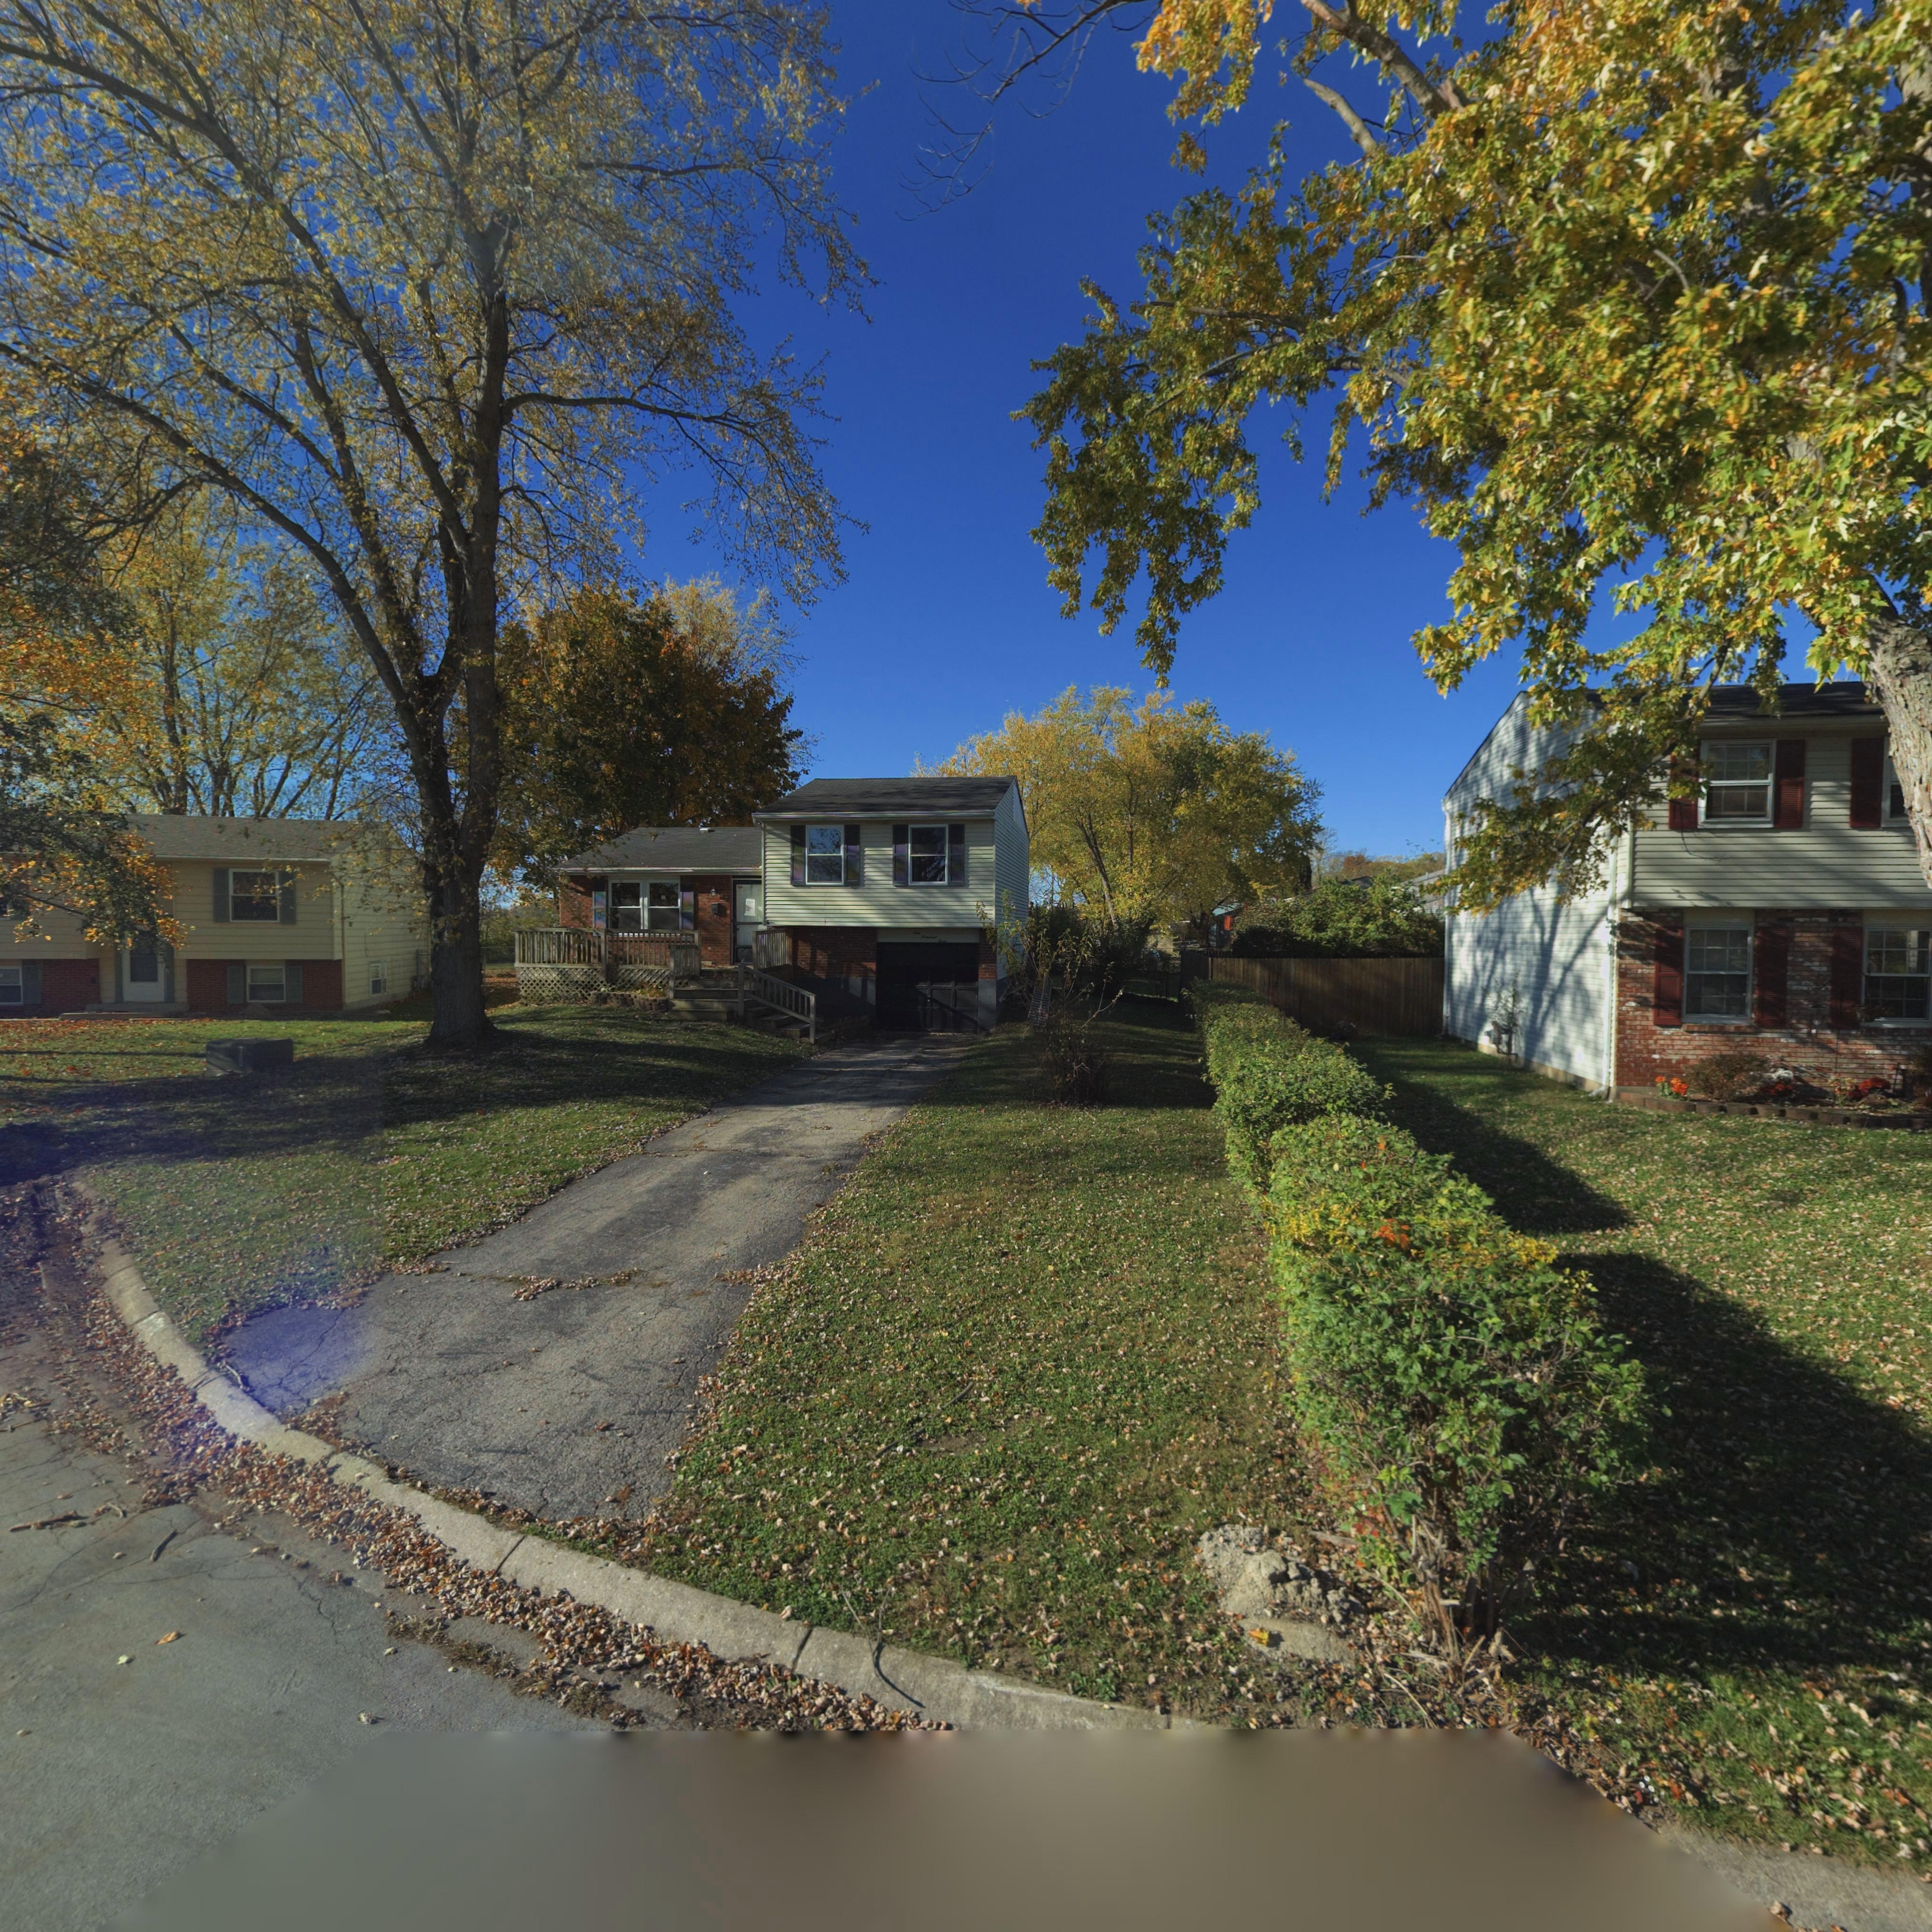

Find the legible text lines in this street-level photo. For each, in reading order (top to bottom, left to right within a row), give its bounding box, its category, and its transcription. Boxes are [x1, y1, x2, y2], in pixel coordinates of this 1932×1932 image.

[912, 930, 917, 935] StreetNumber: O